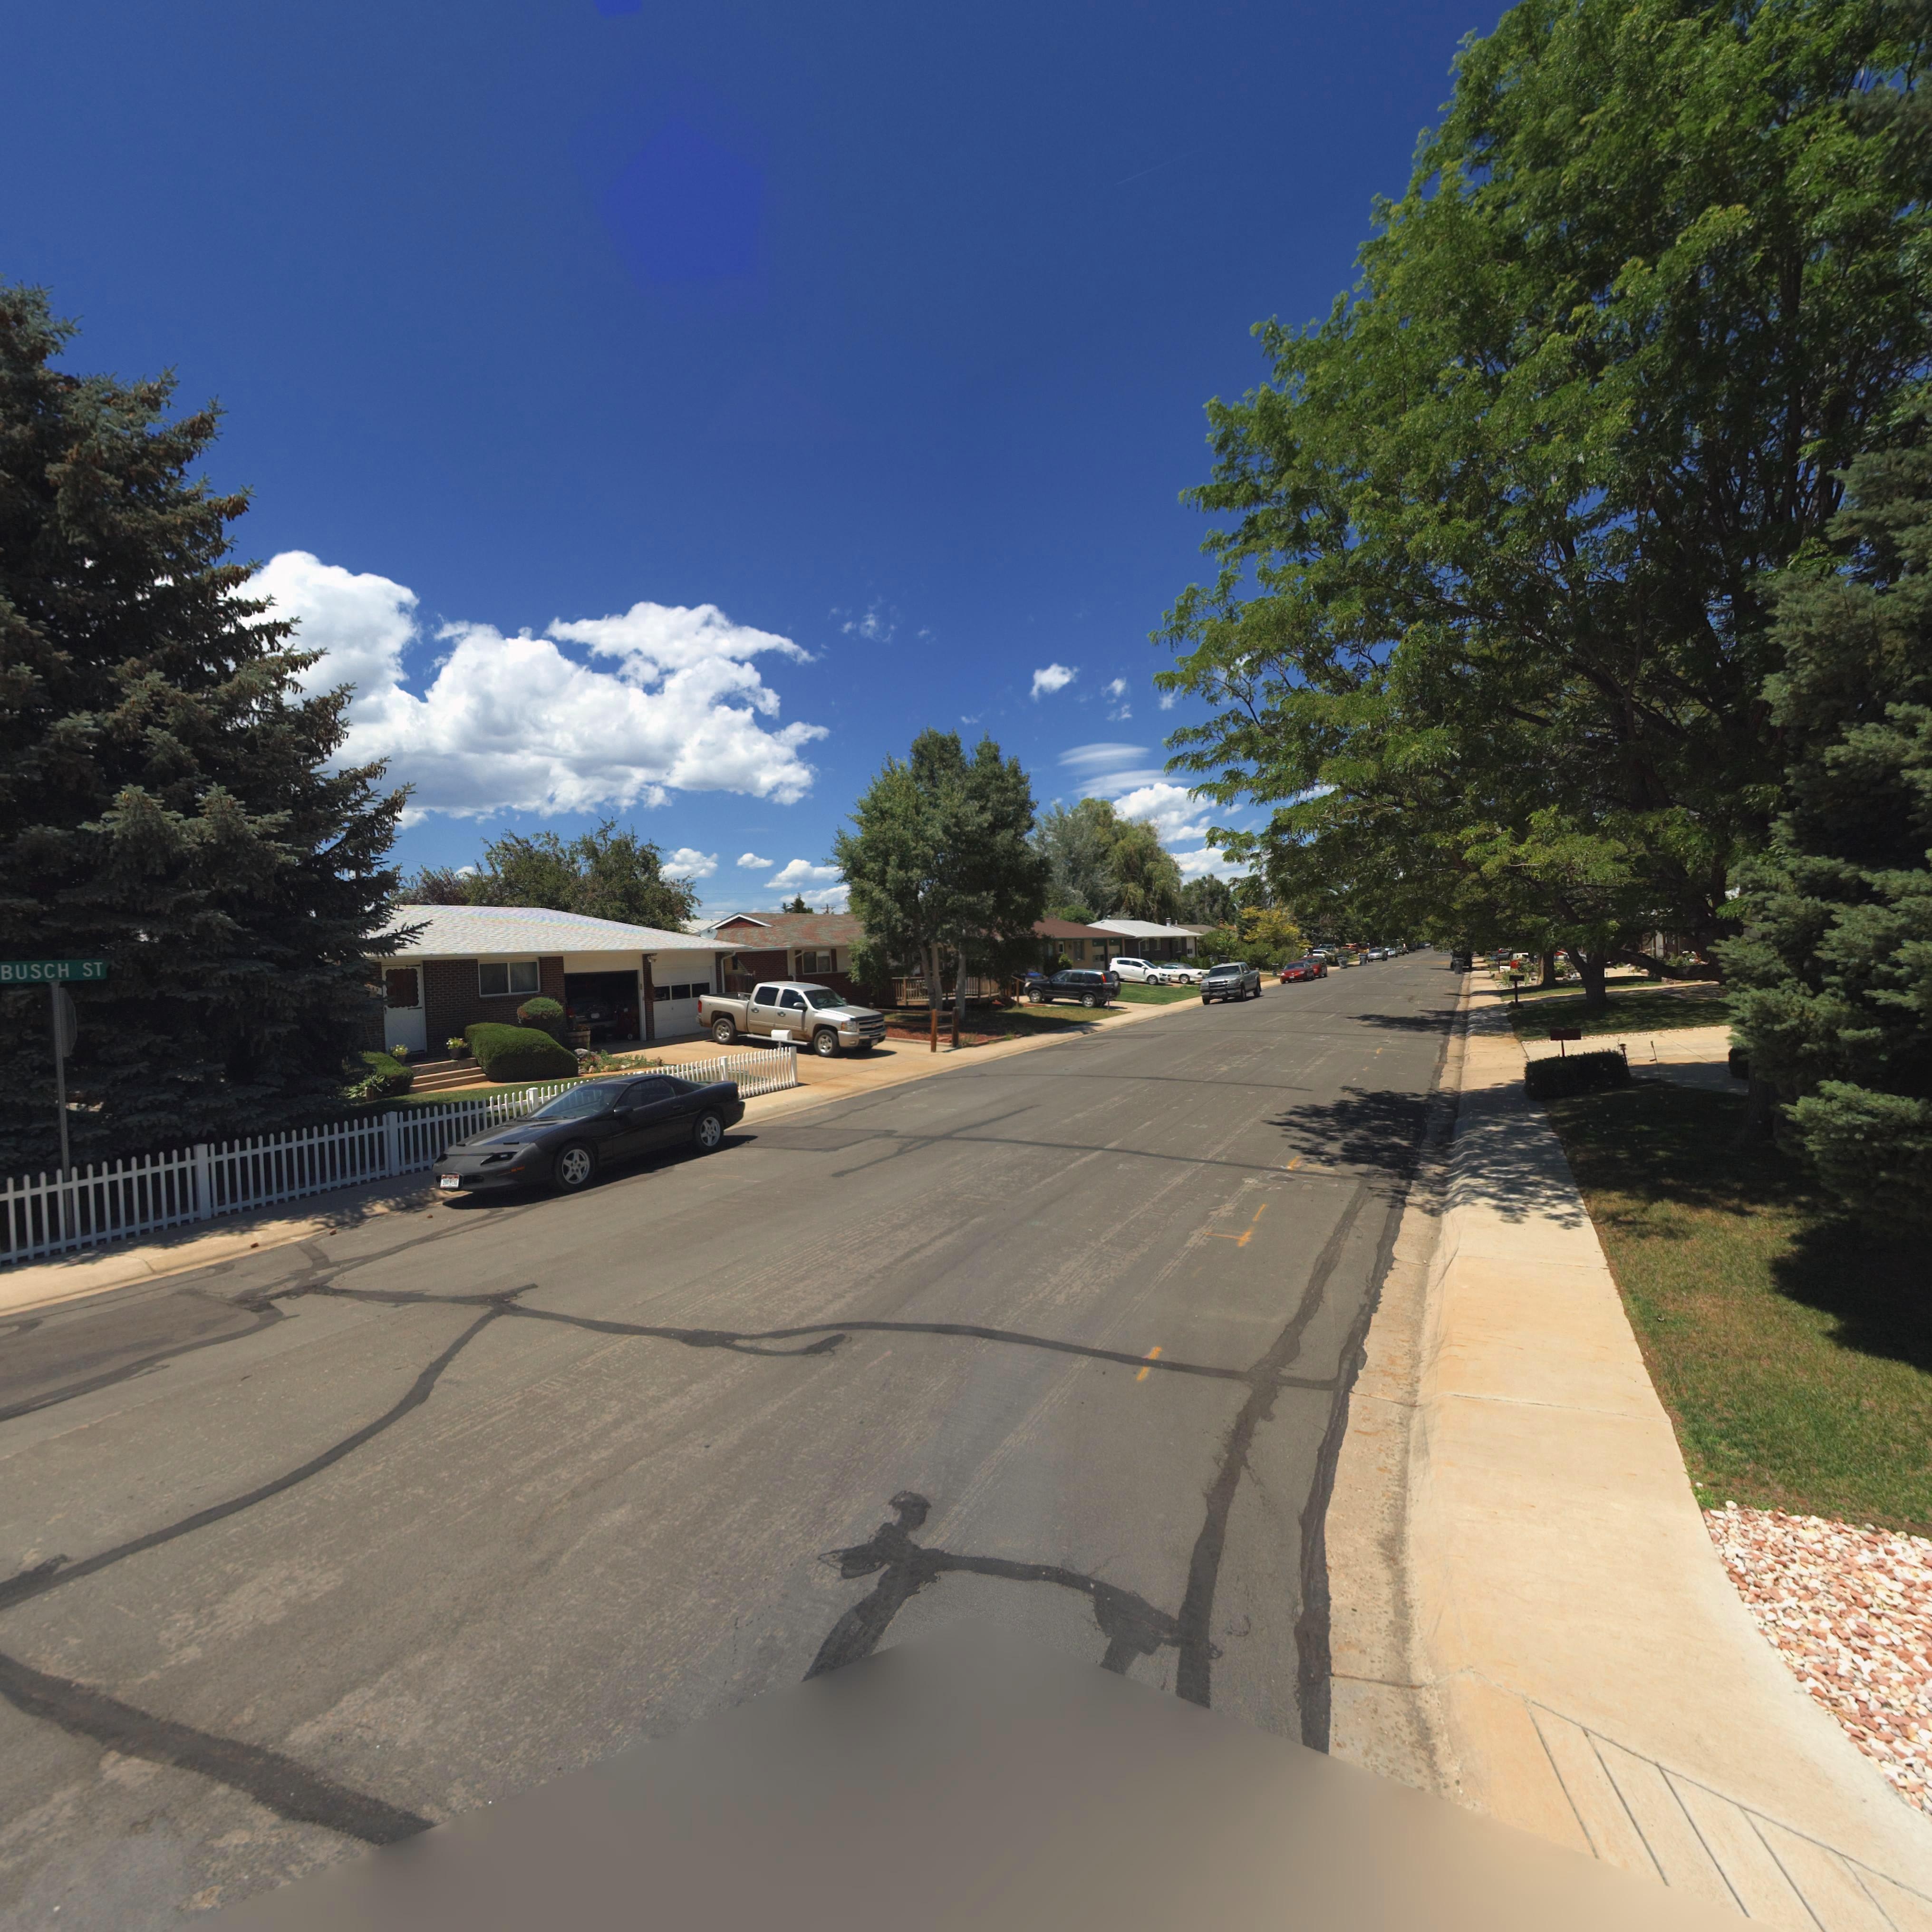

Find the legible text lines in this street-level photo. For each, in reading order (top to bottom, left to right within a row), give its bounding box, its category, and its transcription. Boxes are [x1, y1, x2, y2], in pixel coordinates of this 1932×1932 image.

[0, 962, 102, 980] StreetName: BUSCH ST